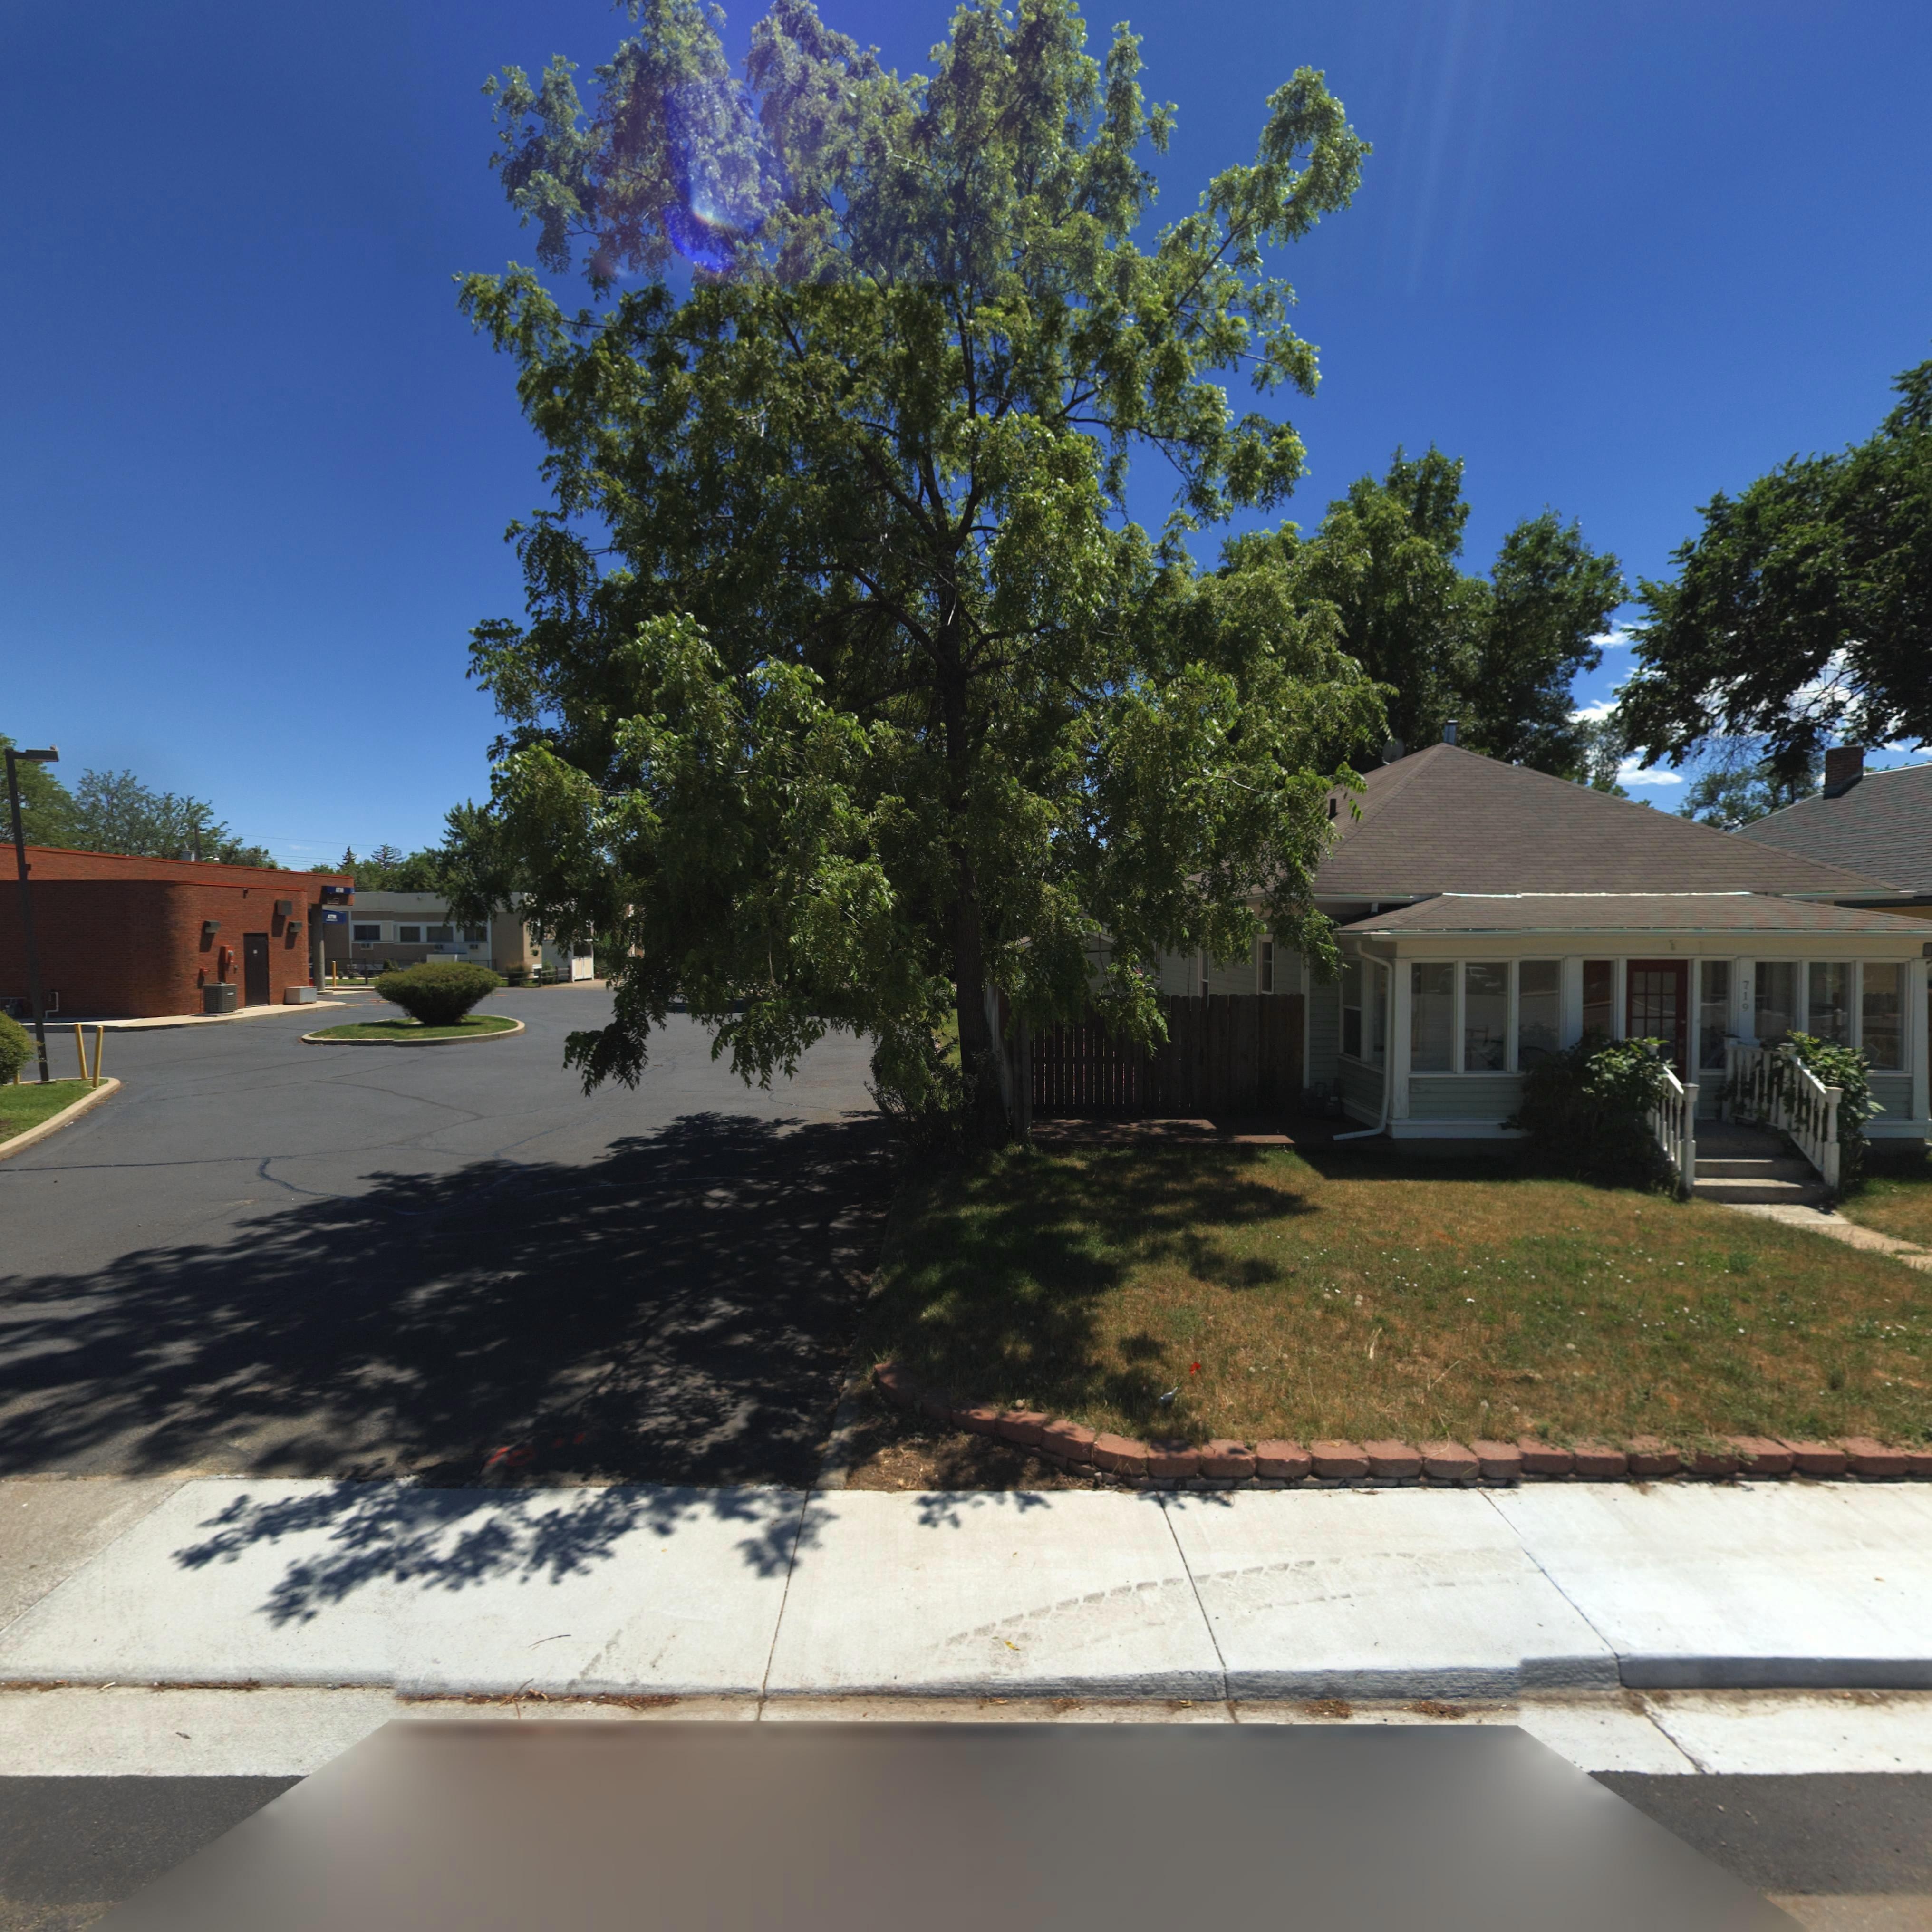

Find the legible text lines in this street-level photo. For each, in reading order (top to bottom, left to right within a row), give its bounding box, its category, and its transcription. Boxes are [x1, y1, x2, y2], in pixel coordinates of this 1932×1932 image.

[1742, 980, 1750, 1013] StreetNumber: 719